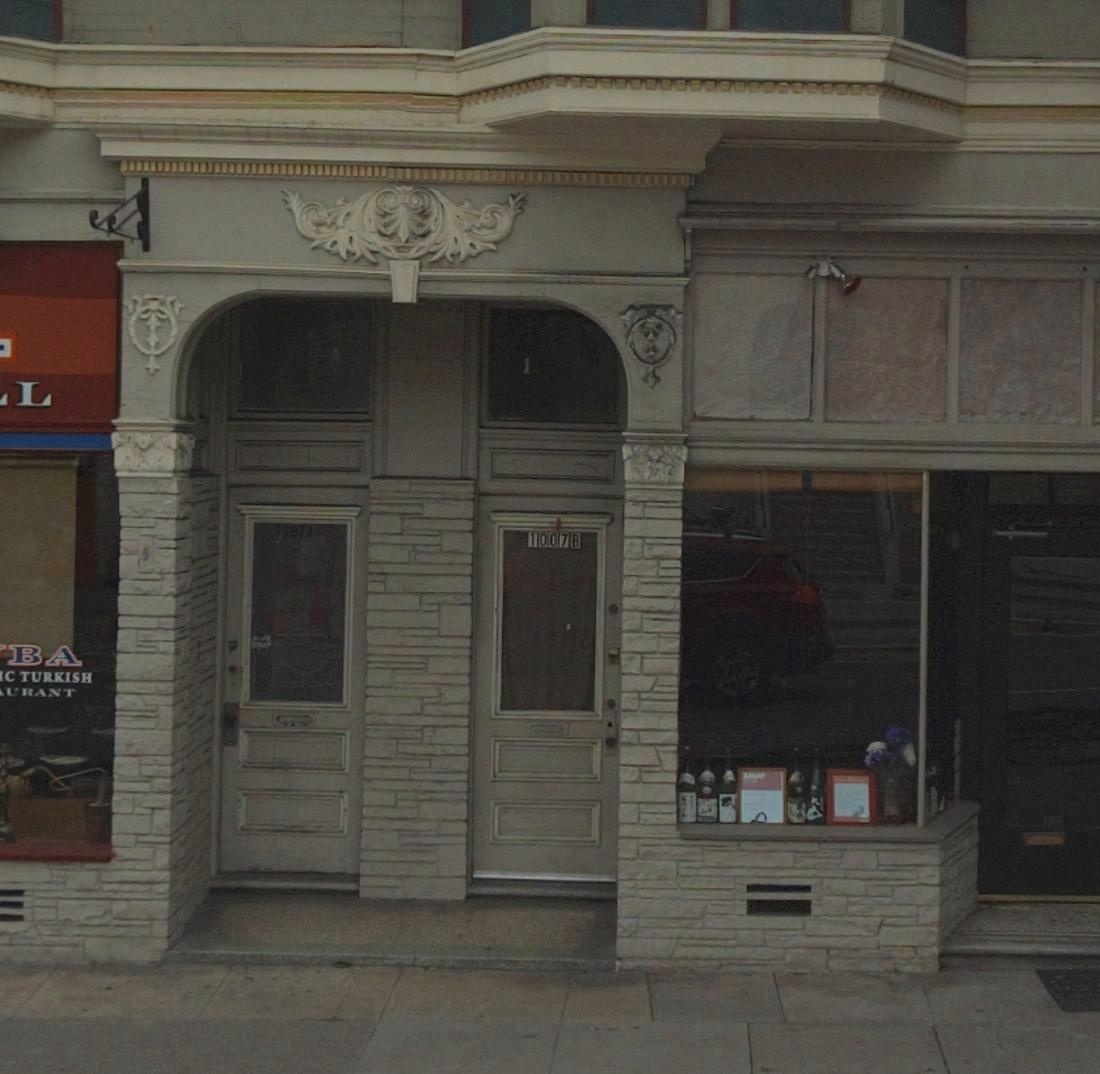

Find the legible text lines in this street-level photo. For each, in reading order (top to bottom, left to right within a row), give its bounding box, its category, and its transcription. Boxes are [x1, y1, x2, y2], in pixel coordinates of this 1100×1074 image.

[14, 380, 54, 408] BusinessName: L
[527, 531, 581, 548] StreetNumber: 1007B
[5, 642, 83, 667] BusinessName: BA
[19, 668, 94, 686] BusinessName: TURKISH
[4, 684, 76, 700] BusinessName: URANT